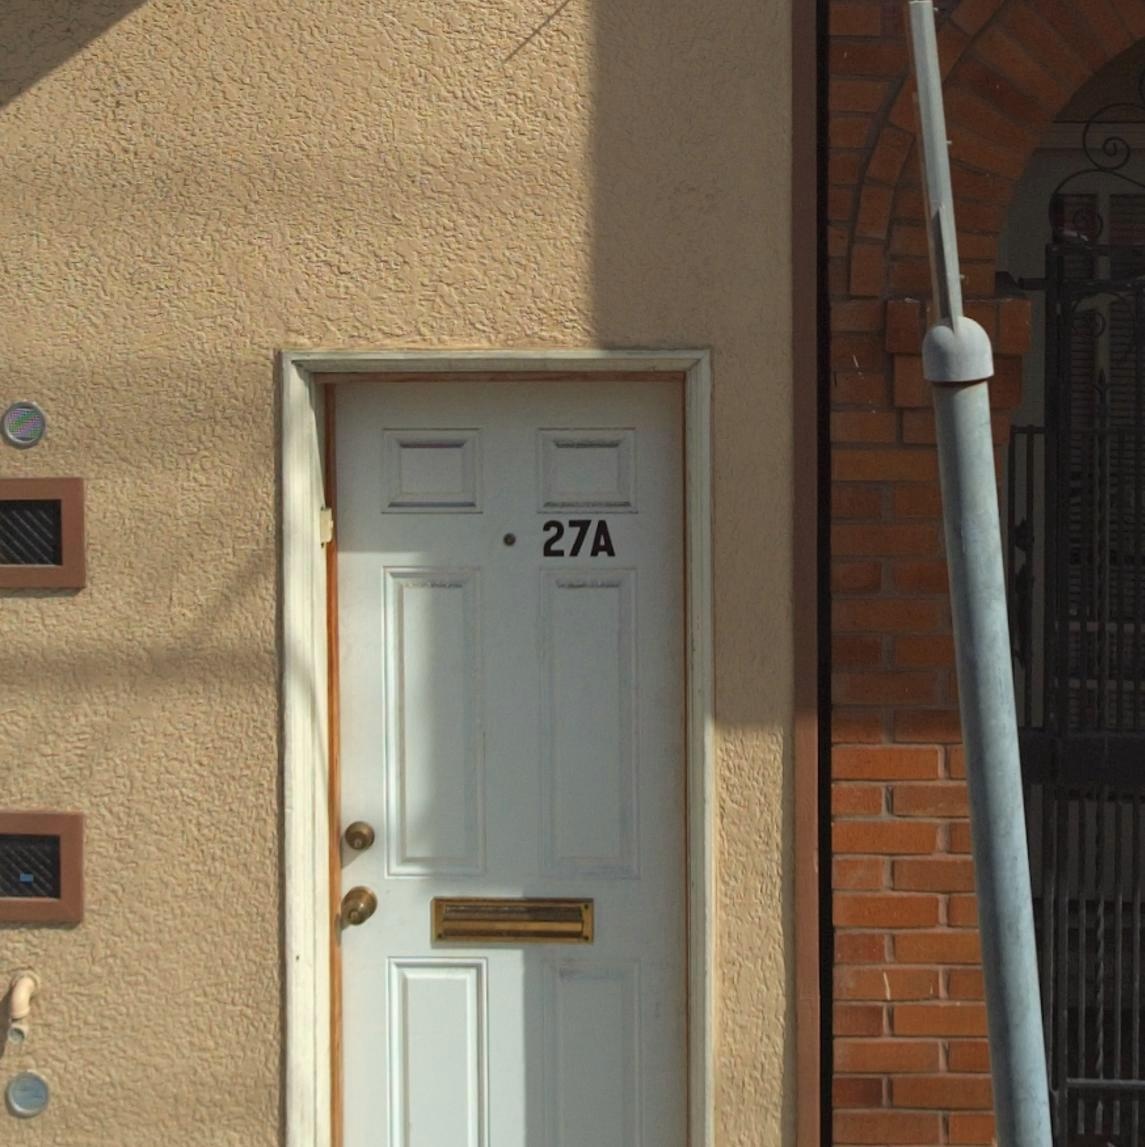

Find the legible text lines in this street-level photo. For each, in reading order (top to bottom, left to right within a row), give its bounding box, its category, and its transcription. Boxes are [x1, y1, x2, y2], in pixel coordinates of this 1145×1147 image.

[536, 515, 622, 561] StreetNumber: 27A